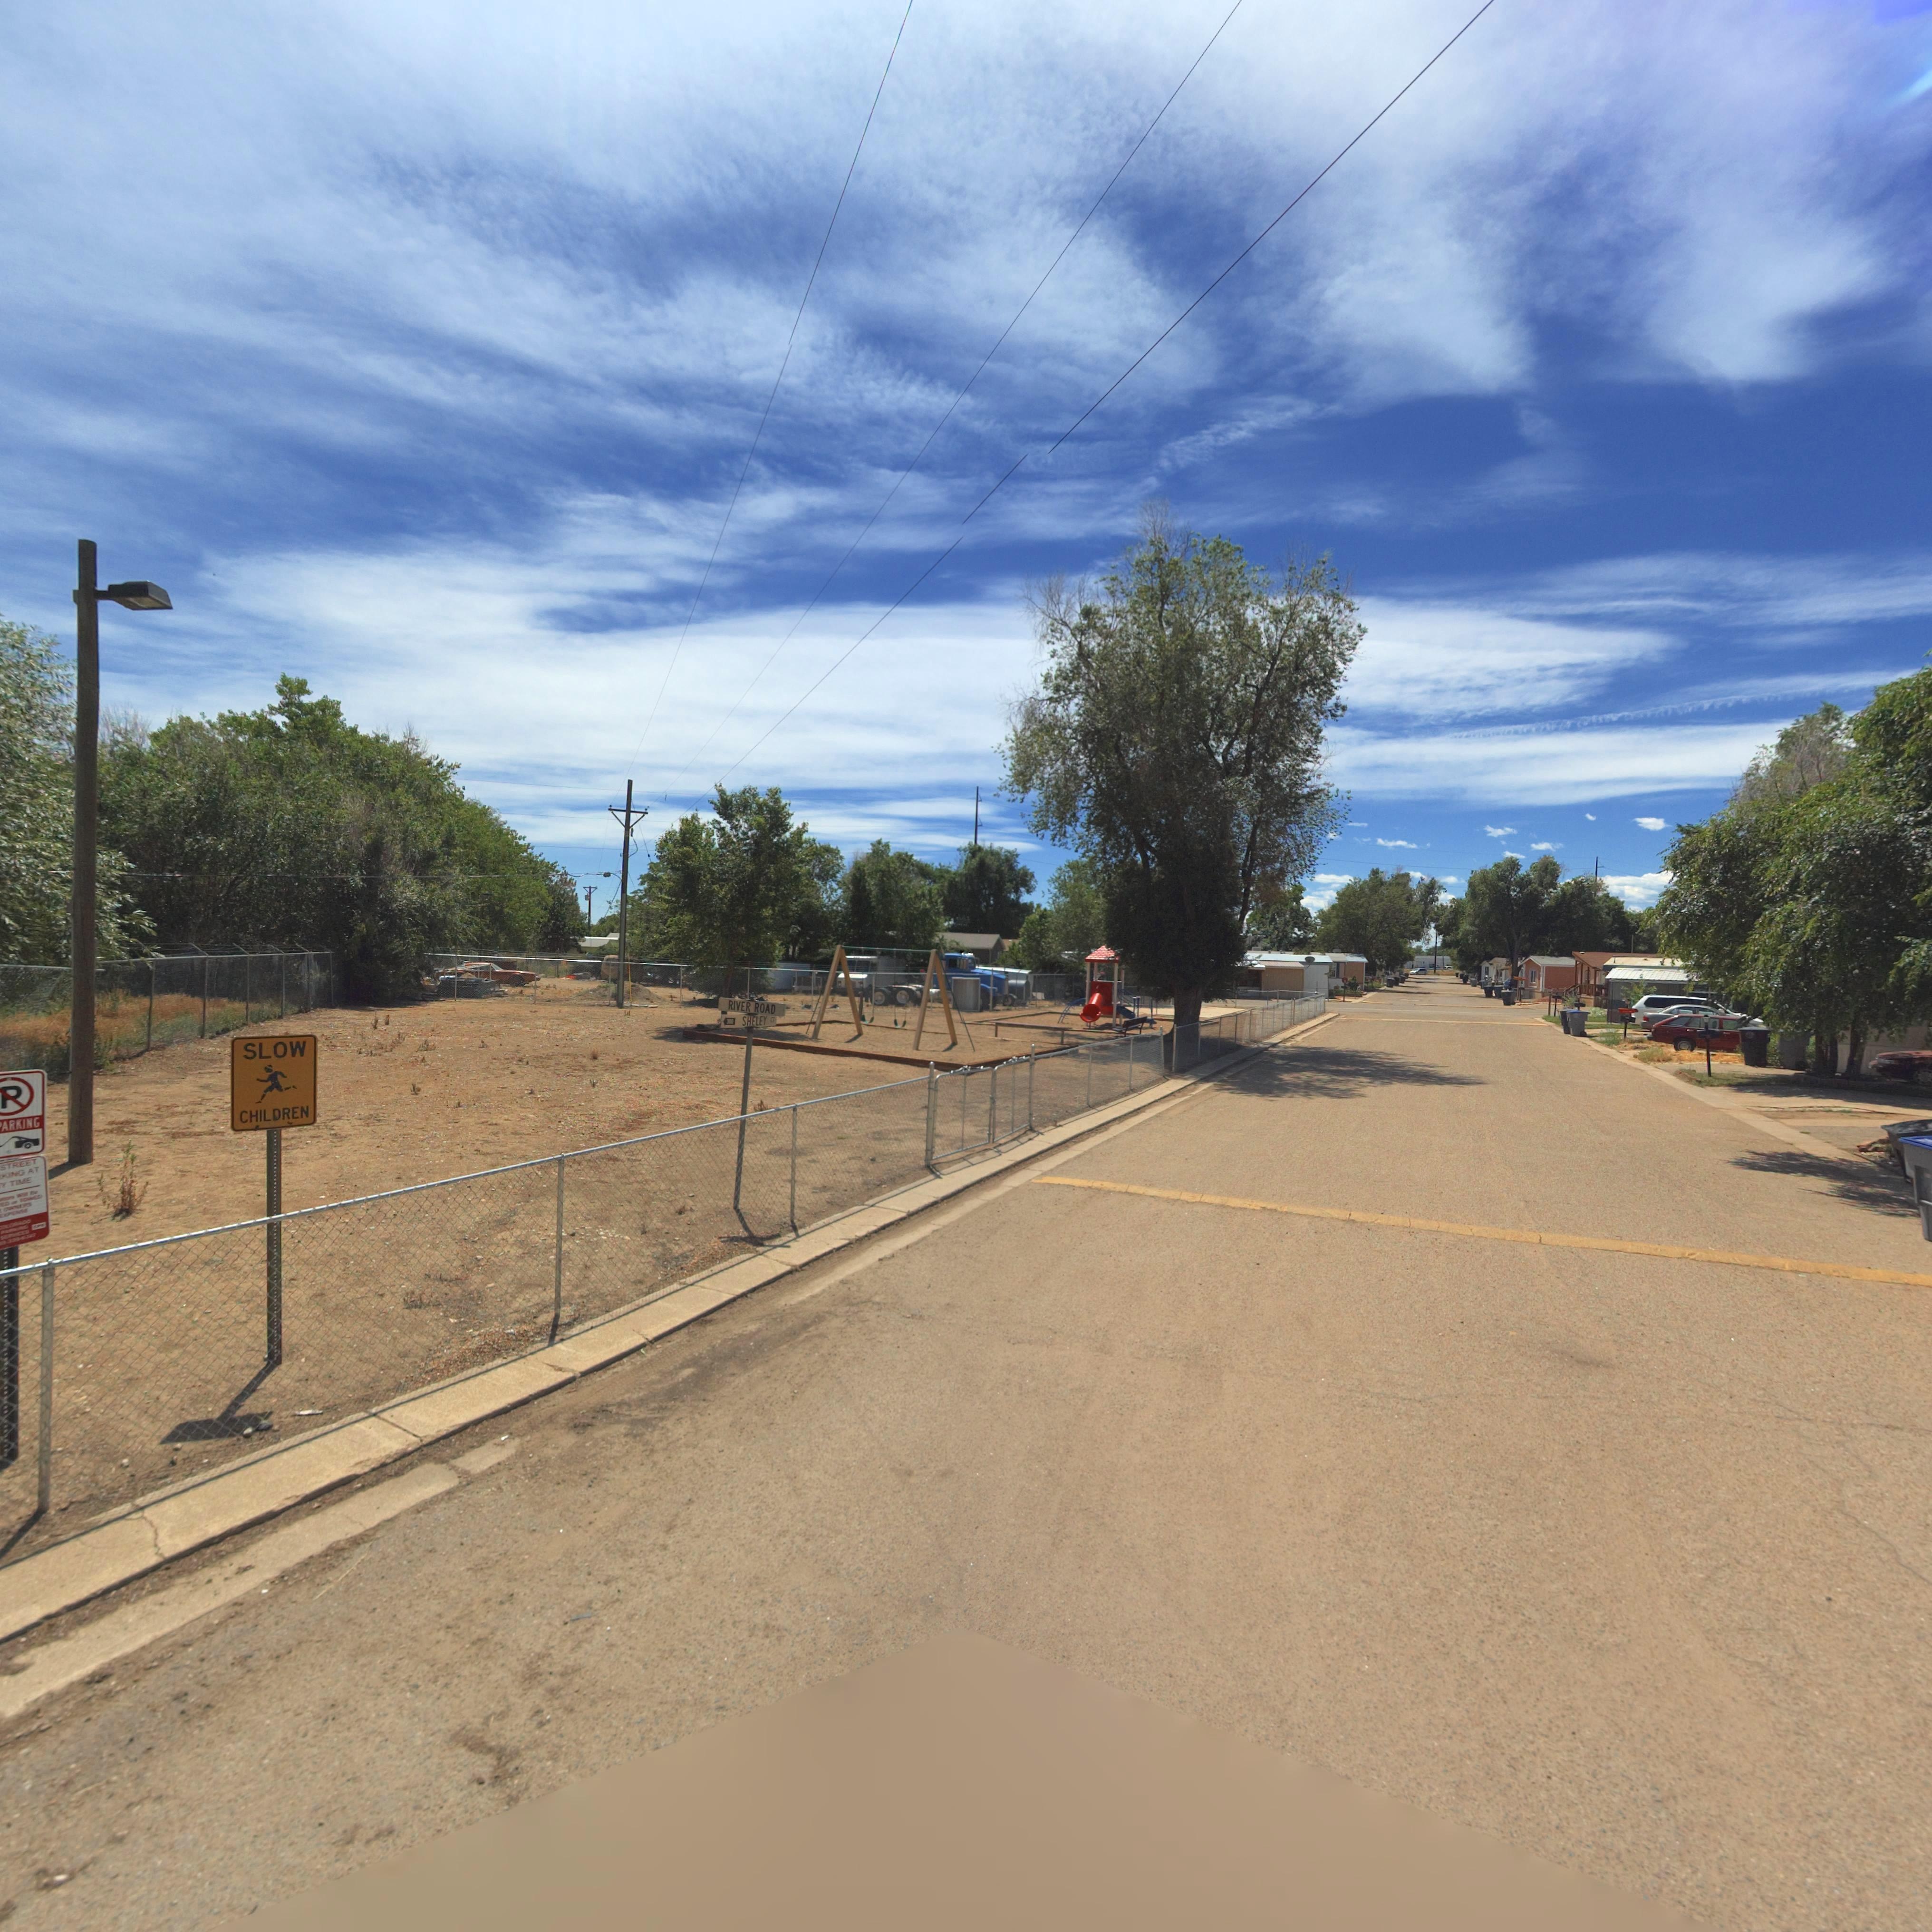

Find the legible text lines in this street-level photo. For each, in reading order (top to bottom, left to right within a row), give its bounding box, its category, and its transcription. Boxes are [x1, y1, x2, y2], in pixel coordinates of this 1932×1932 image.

[728, 999, 776, 1014] StreetName: RIVER ROAD
[726, 1019, 734, 1024] StreetNumberRange: 300
[740, 1015, 776, 1026] StreetName: SHELEY CT
[239, 1105, 309, 1123] TrafficSign: CHILDREN